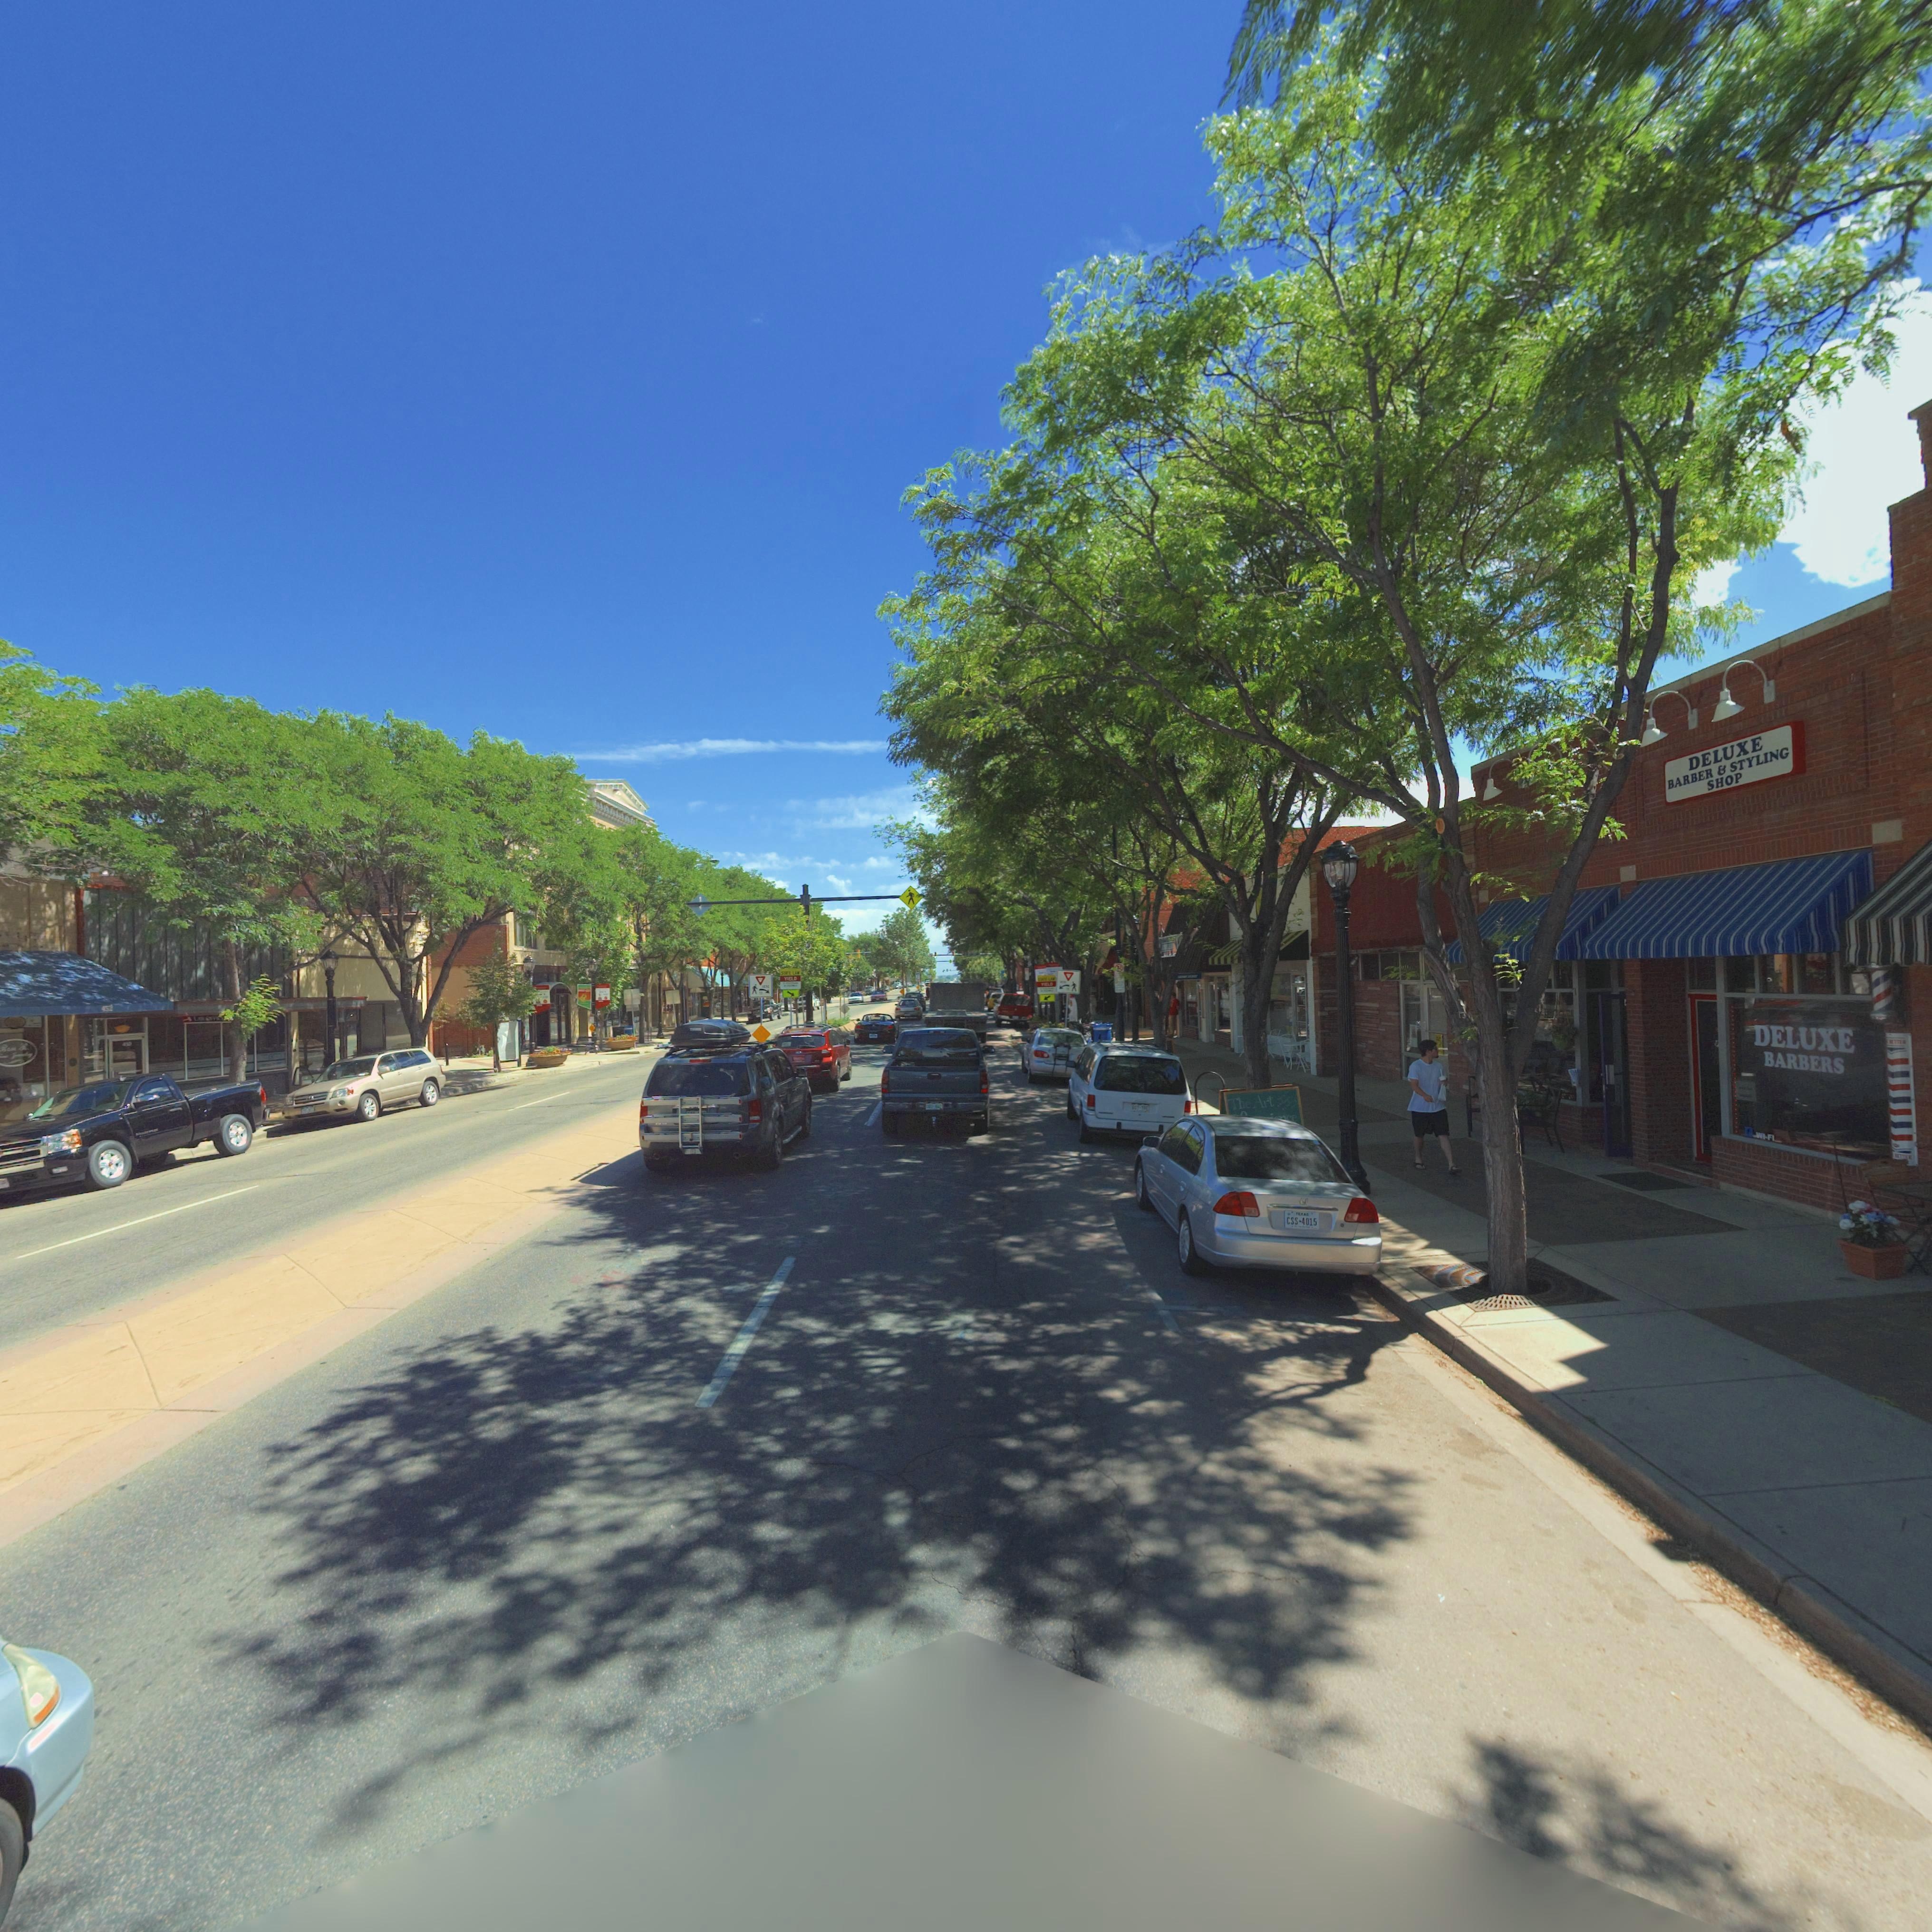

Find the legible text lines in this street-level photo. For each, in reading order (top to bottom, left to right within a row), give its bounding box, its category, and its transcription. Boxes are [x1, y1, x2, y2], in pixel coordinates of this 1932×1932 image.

[1706, 772, 1742, 791] BusinessName: SHOP
[1688, 735, 1765, 772] BusinessName: DELUXE
[1667, 745, 1789, 790] BusinessName: BARBER & STYLING
[122, 1041, 132, 1047] StreetNumber: 4*0
[1752, 1024, 1855, 1054] BusinessName: DELUXE
[1762, 1050, 1845, 1075] BusinessName: BARBERS